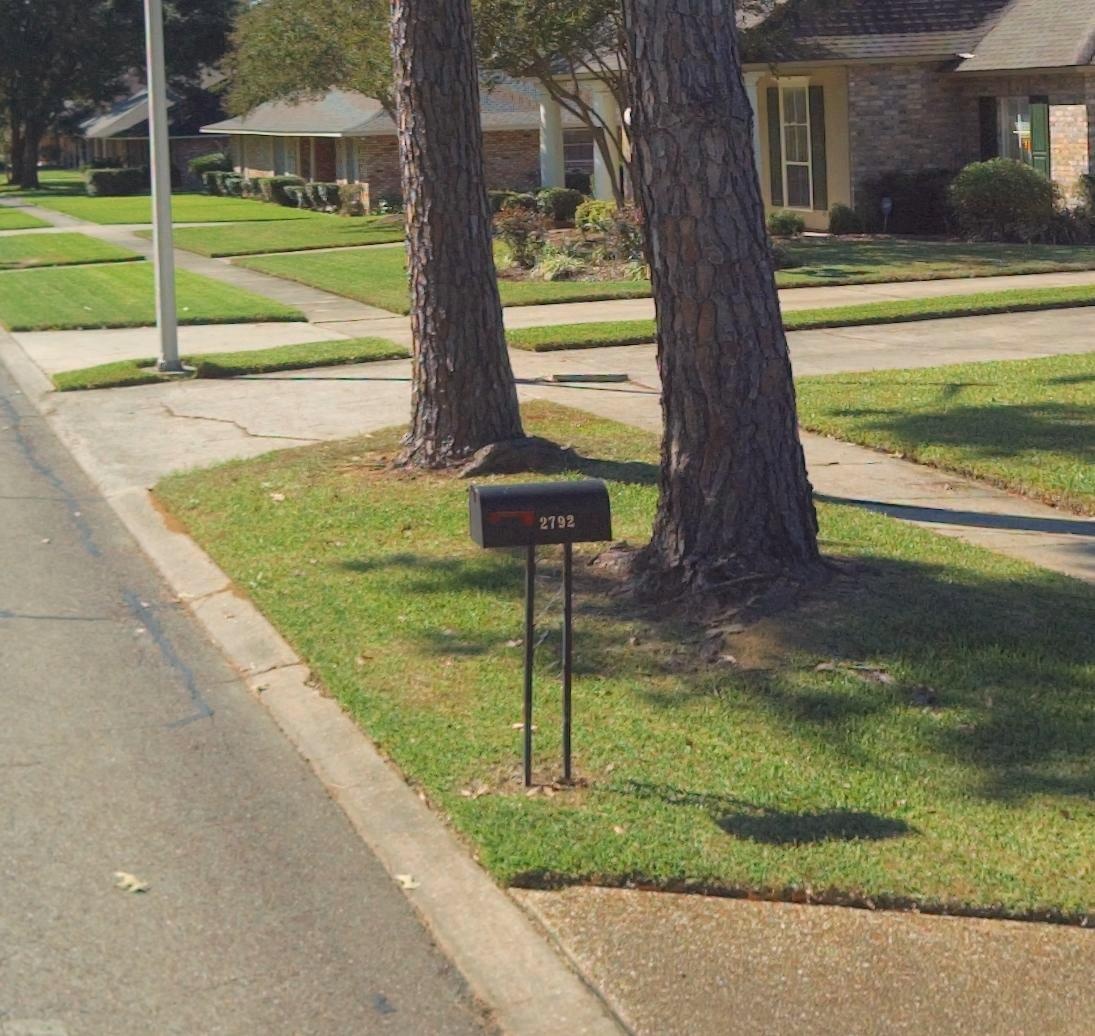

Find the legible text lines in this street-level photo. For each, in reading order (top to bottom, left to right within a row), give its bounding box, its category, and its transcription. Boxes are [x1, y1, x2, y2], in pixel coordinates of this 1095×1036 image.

[537, 512, 578, 532] StreetNumber: 2792